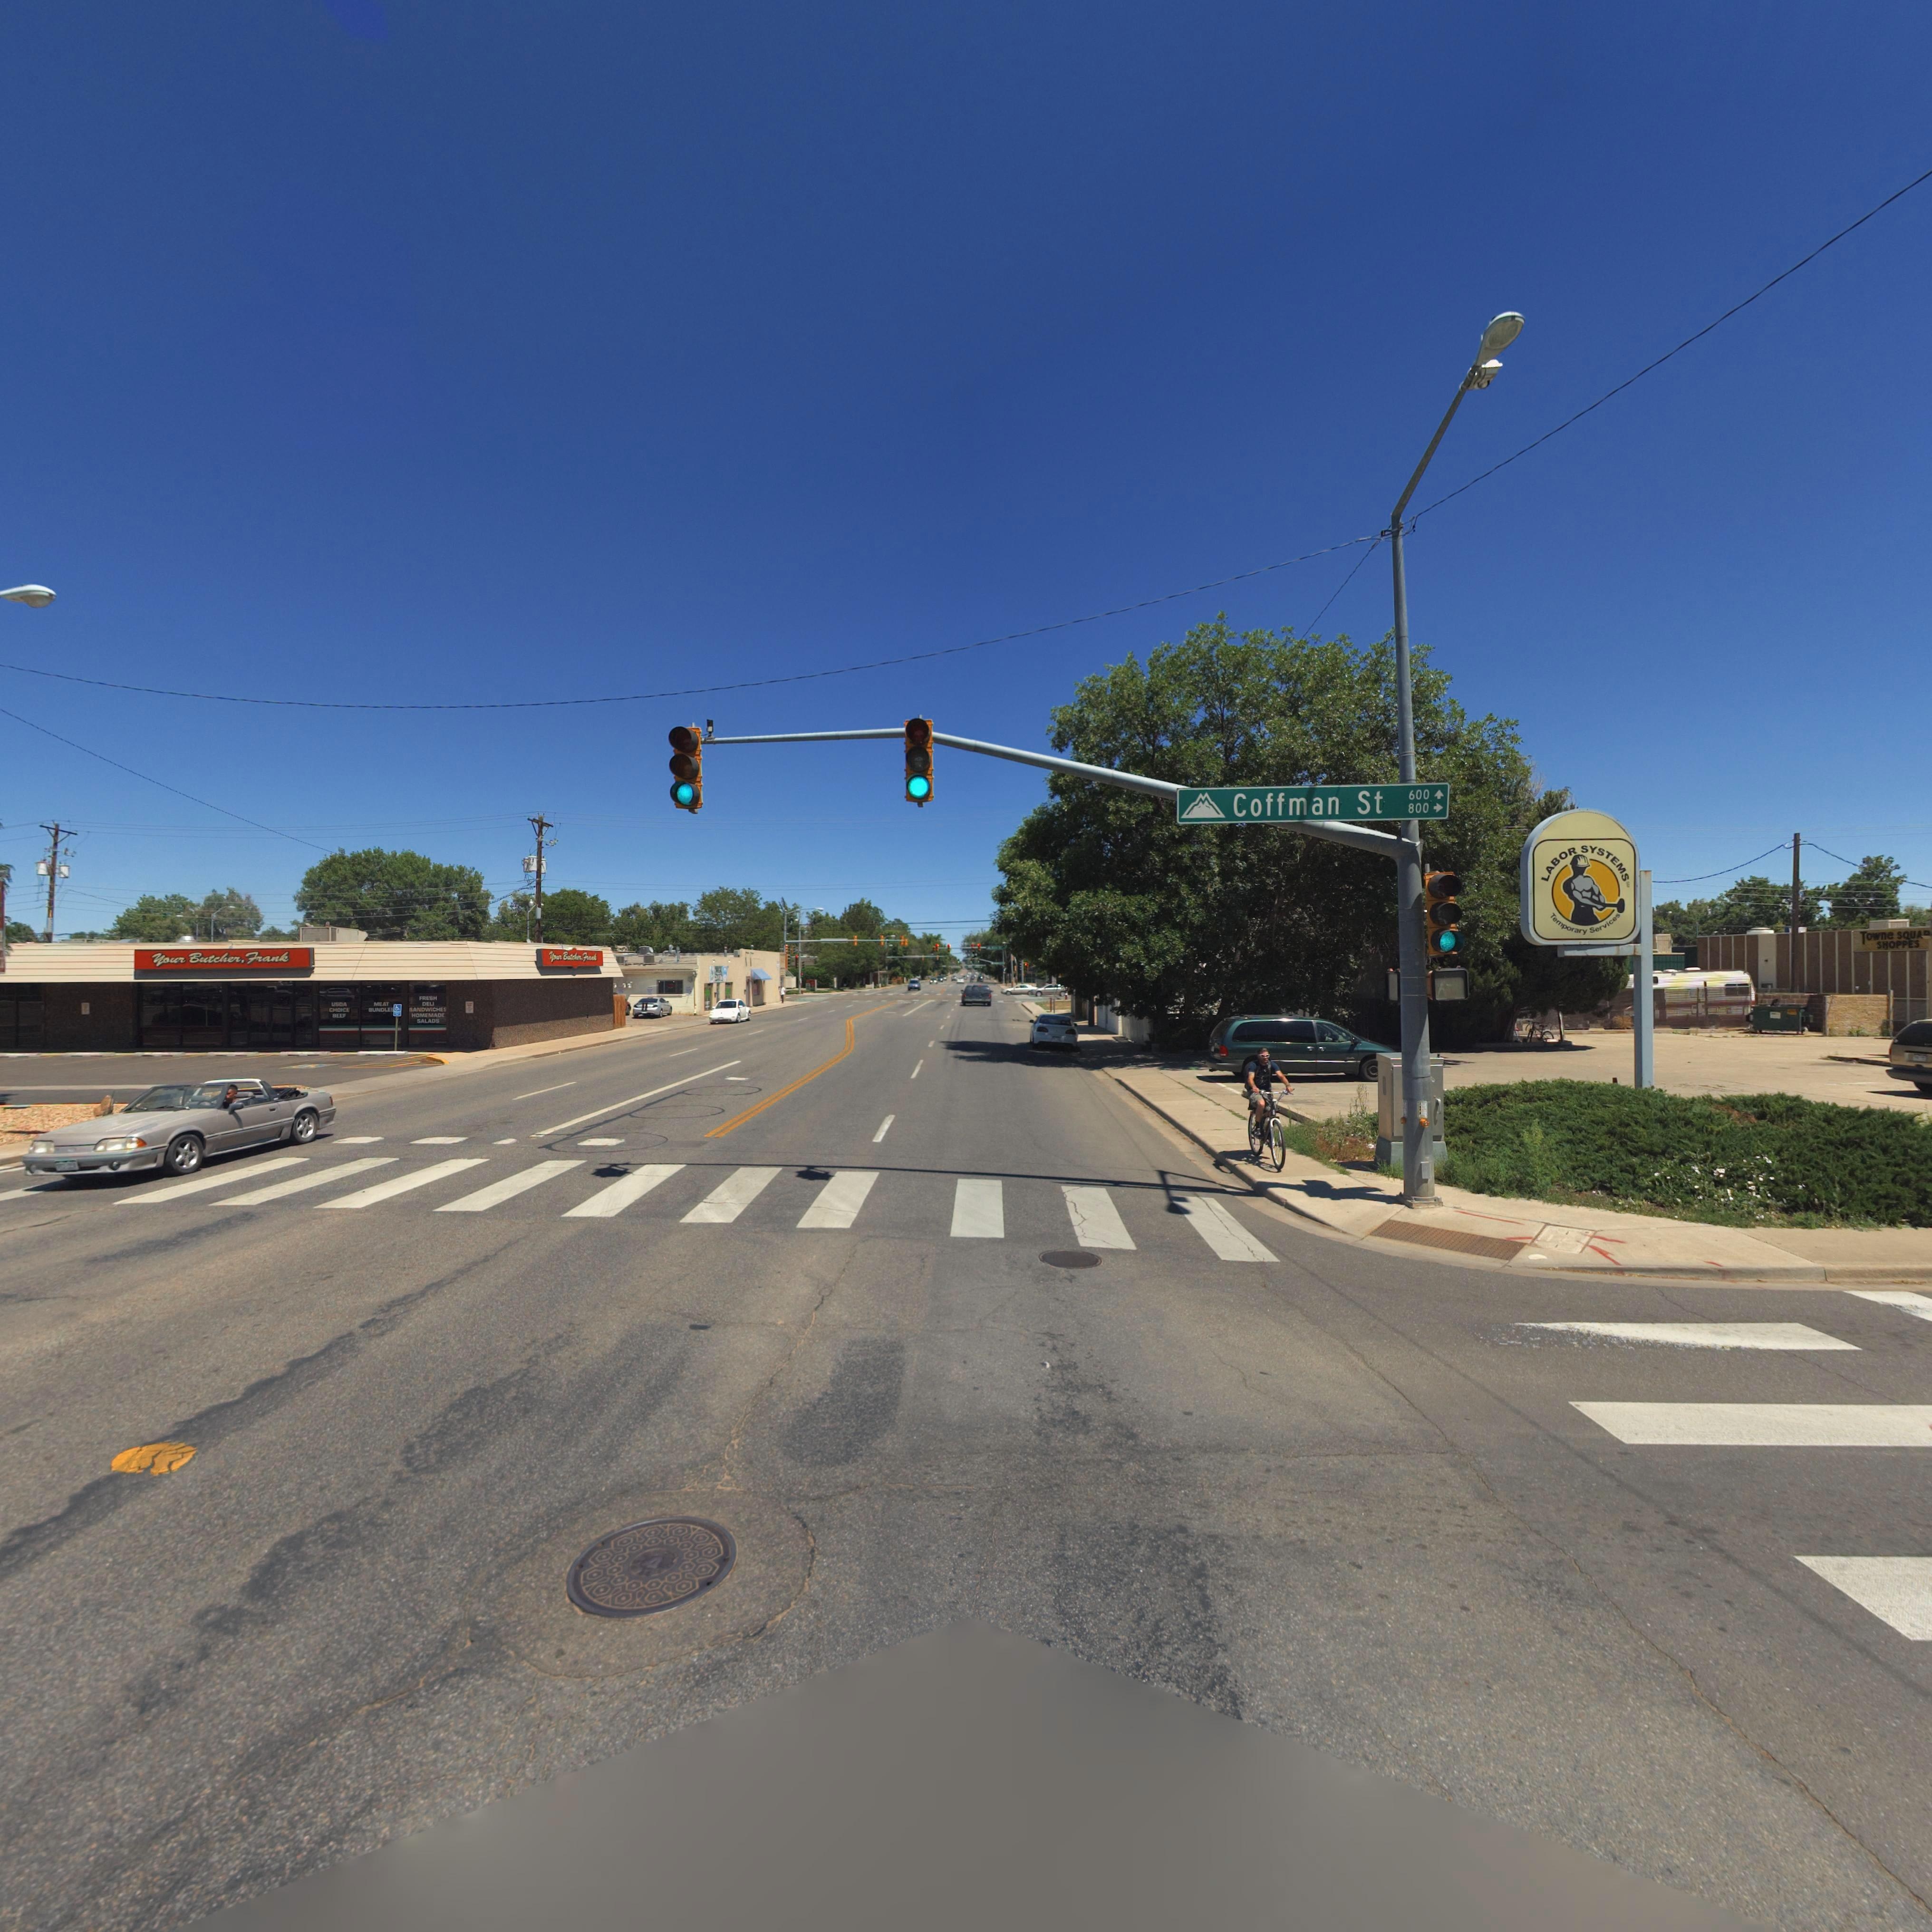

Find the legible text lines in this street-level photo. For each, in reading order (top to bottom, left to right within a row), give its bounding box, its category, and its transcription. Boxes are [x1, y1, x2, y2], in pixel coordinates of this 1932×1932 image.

[1408, 788, 1430, 801] StreetNumberRange: 600
[1232, 790, 1384, 818] StreetName: Coffman St
[1407, 802, 1445, 814] StreetNumberRange: 800->
[1540, 844, 1629, 882] BusinessName: LABOR SYSTEMS
[1549, 911, 1620, 935] BusinessName: Temporary Services
[150, 950, 290, 967] BusinessName: Your Butcher, Frank
[548, 950, 597, 963] BusinessName: Your Butcher, Frank